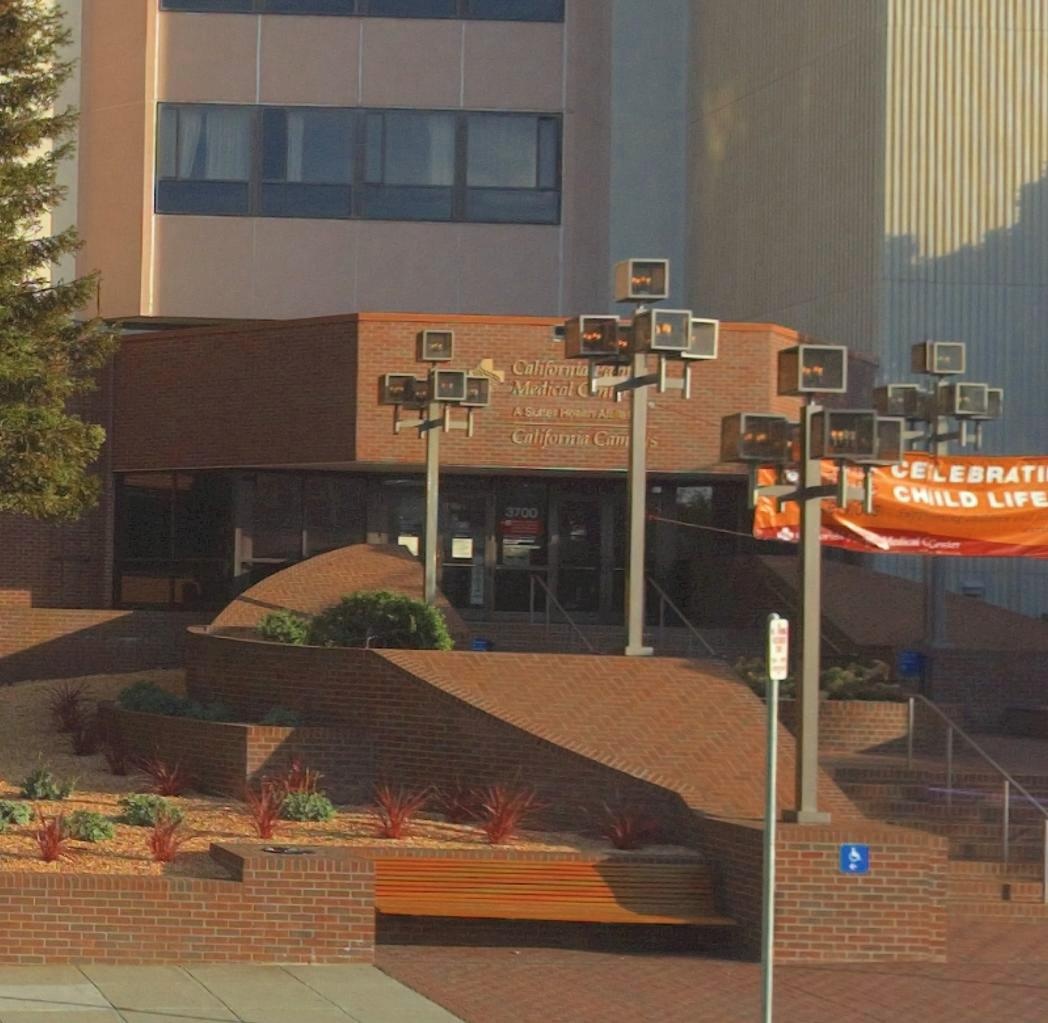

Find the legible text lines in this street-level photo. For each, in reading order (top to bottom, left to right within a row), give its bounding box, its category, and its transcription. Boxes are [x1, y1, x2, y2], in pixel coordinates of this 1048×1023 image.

[509, 356, 589, 379] BusinessName: California
[508, 378, 576, 399] BusinessName: Medical
[509, 402, 526, 420] None: A'
[508, 425, 661, 453] None: California Cam**s
[908, 458, 1047, 485] None: E*EBRATI
[889, 483, 1048, 512] None: CH*ILD LIFE
[503, 505, 540, 521] StreetNumber: 3700